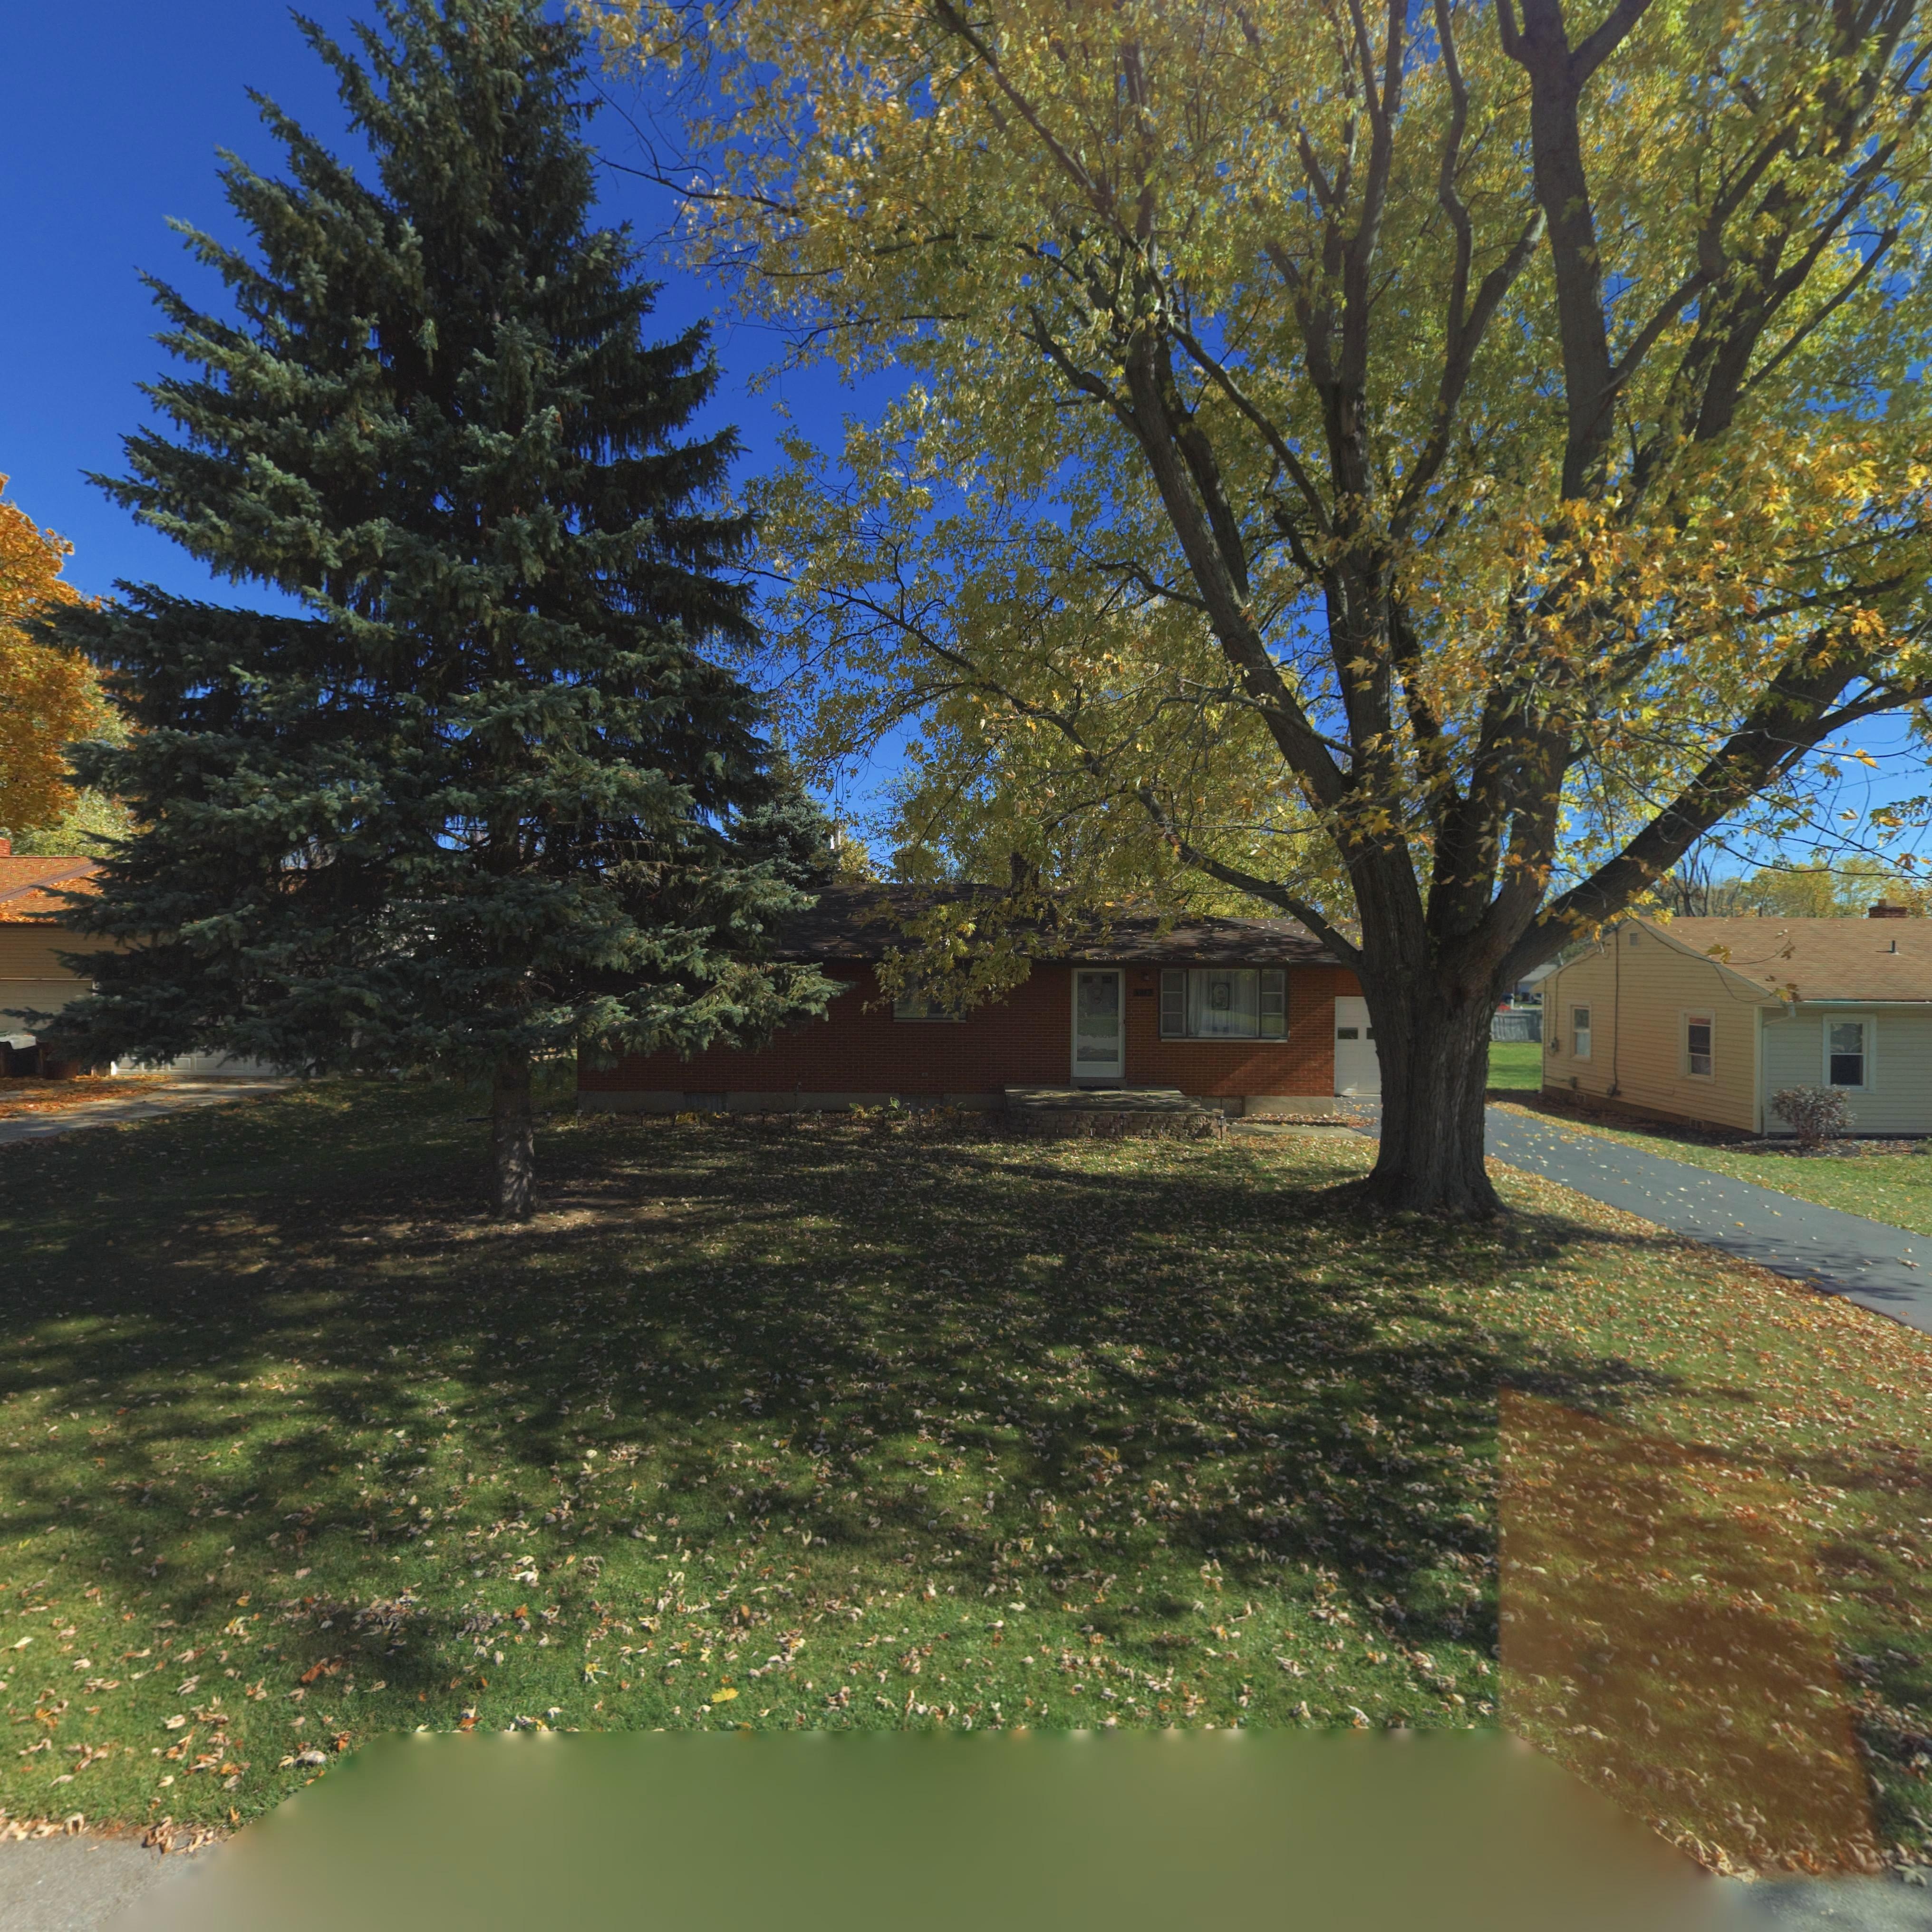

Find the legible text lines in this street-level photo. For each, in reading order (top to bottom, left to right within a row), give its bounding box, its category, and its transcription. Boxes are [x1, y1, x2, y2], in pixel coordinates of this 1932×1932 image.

[1145, 990, 1150, 996] StreetNumber: 8